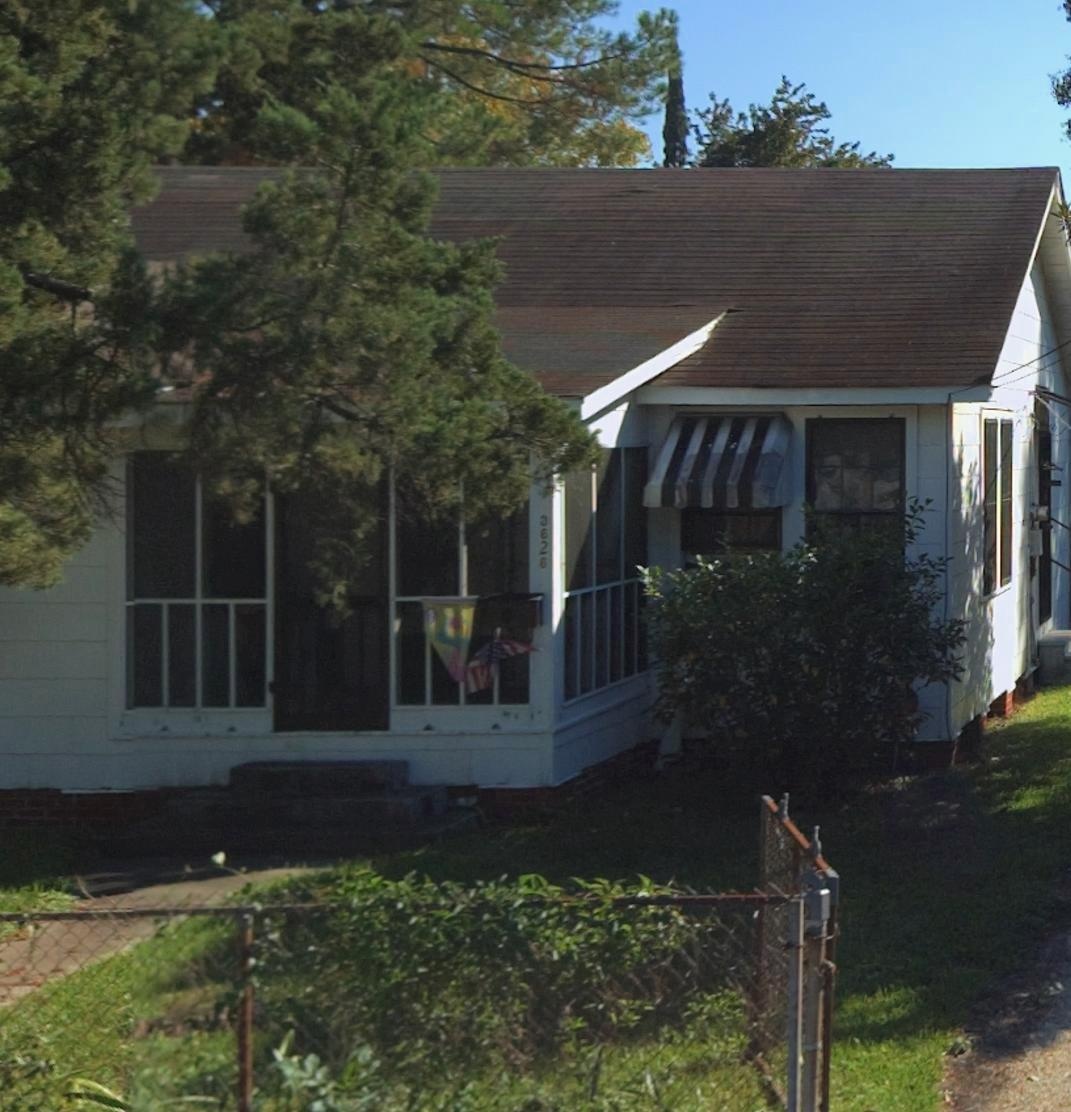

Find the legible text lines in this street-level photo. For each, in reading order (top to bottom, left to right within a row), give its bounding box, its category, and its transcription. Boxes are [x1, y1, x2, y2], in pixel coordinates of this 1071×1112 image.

[538, 513, 549, 569] StreetNumber: 3626